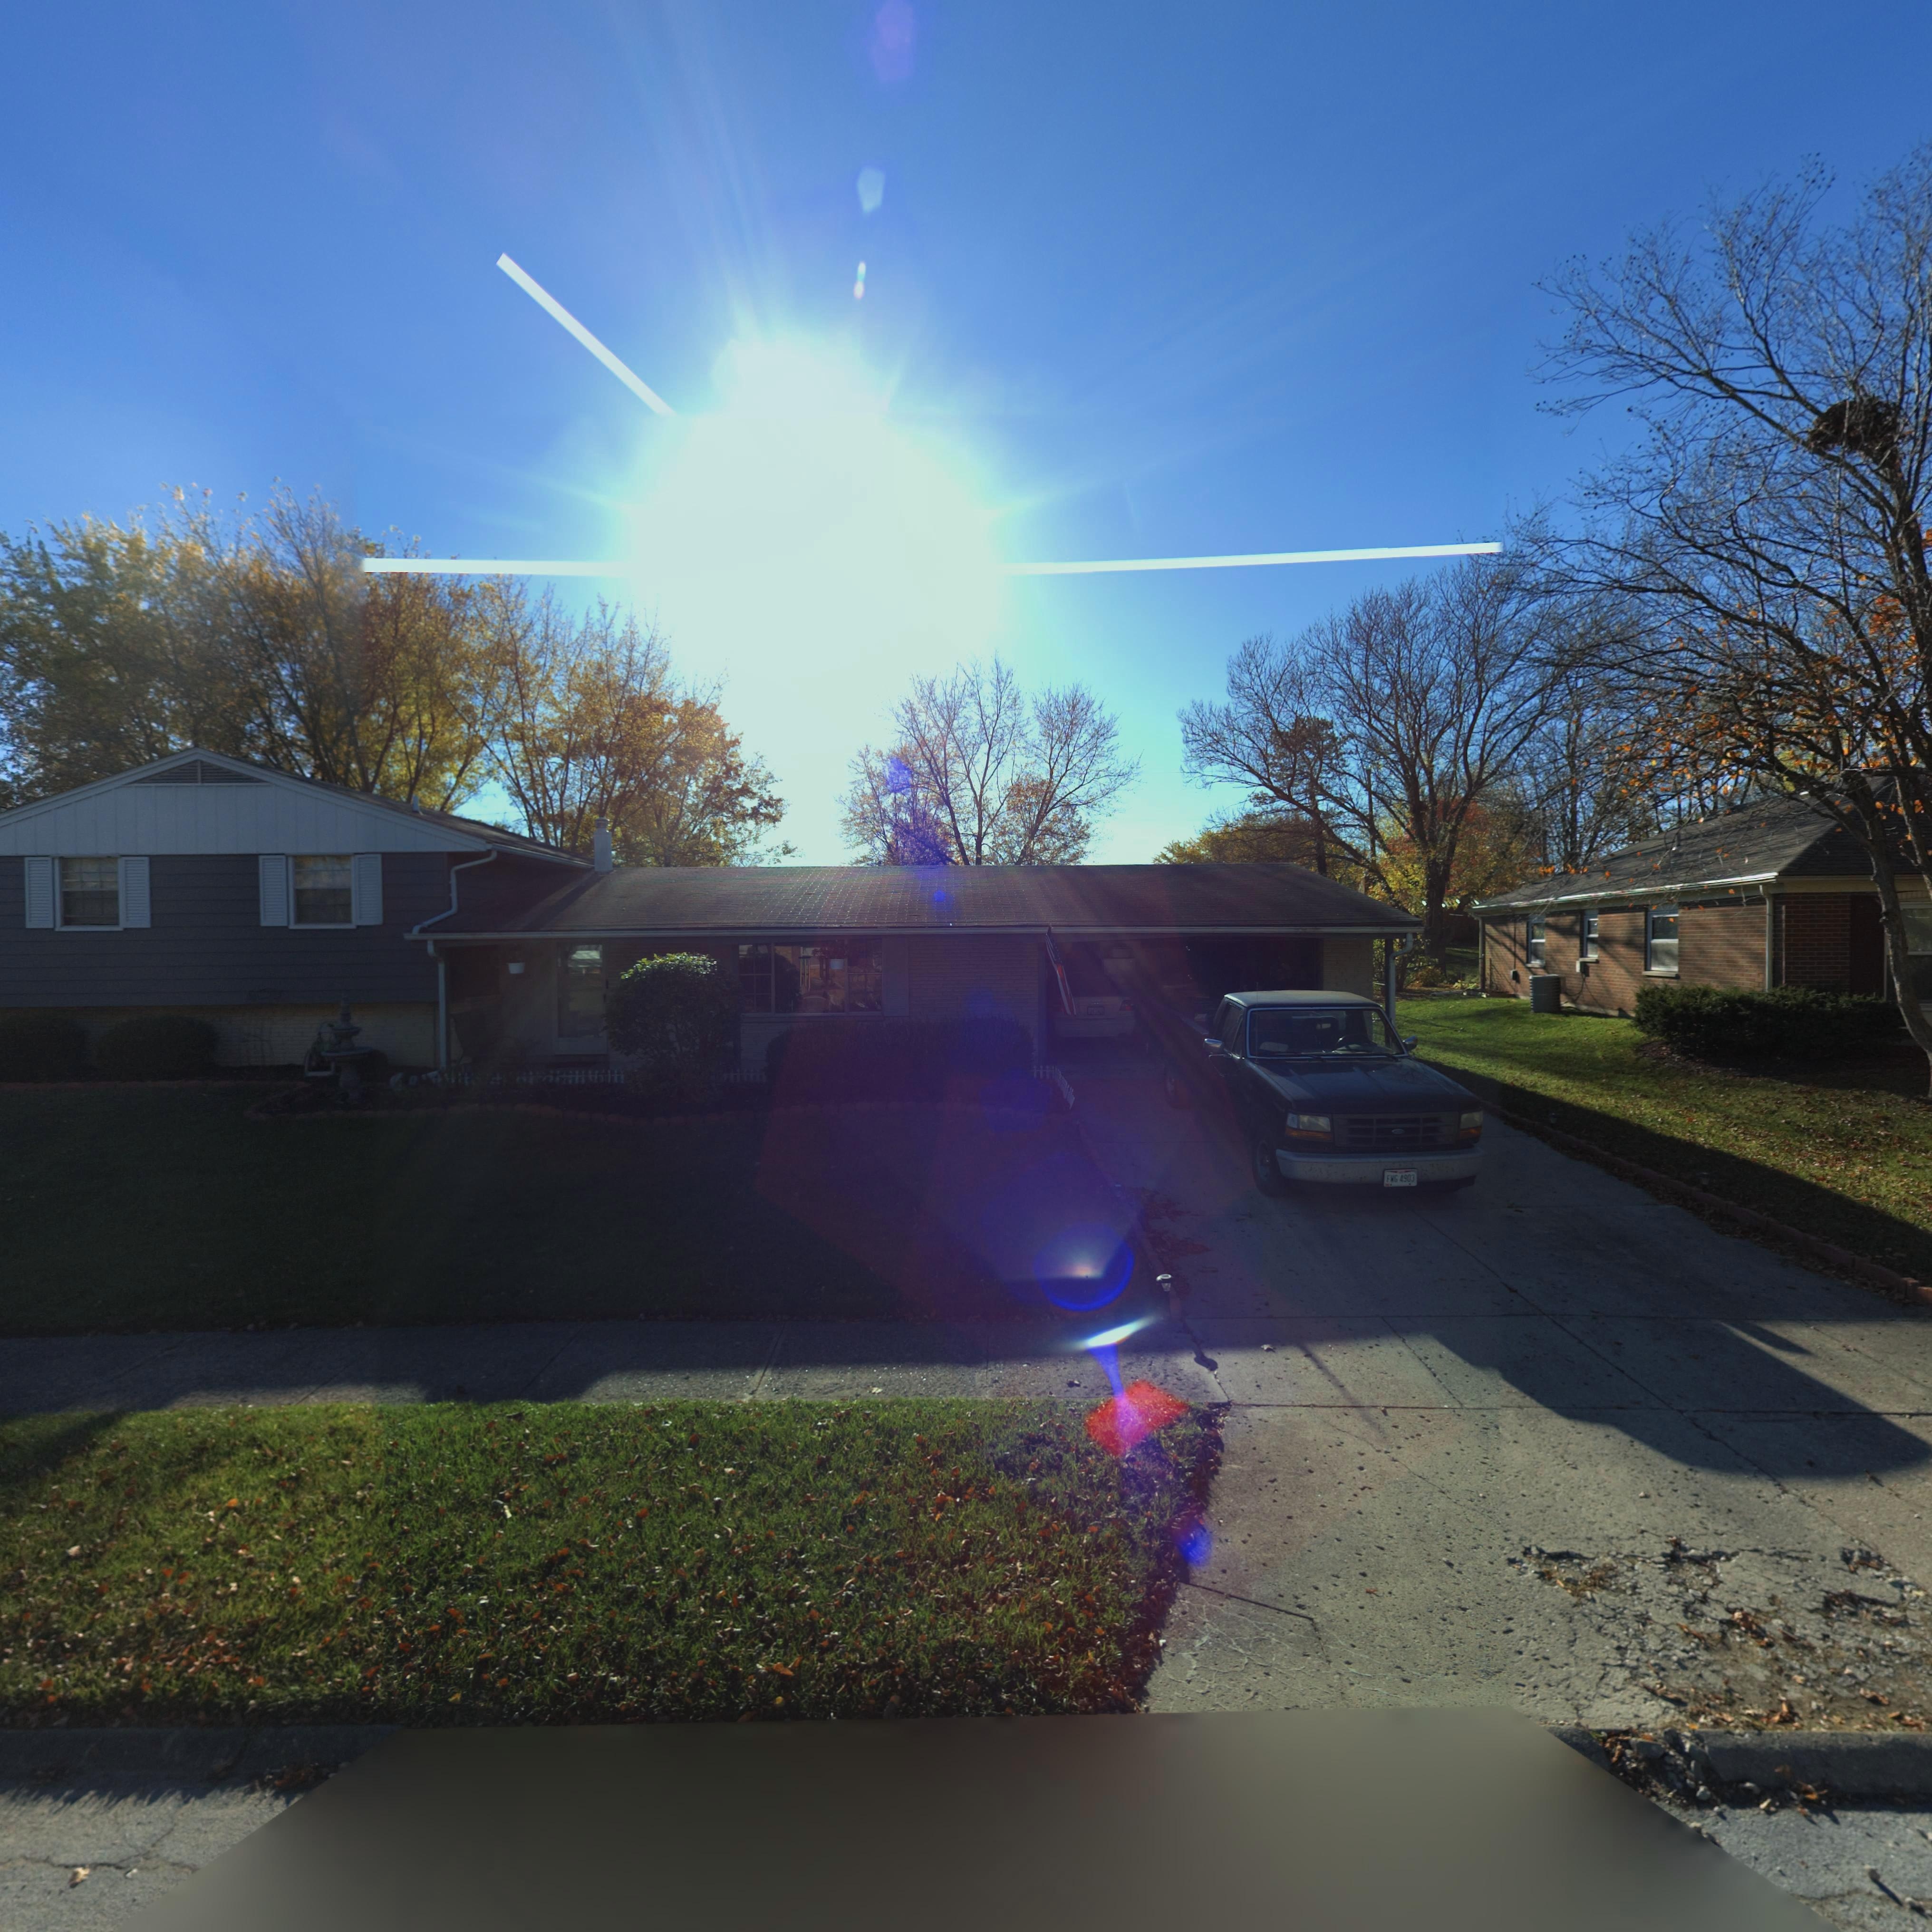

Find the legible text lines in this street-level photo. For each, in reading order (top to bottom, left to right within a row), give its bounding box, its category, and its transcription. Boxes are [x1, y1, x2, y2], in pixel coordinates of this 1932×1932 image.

[522, 972, 531, 980] StreetNumber: 13